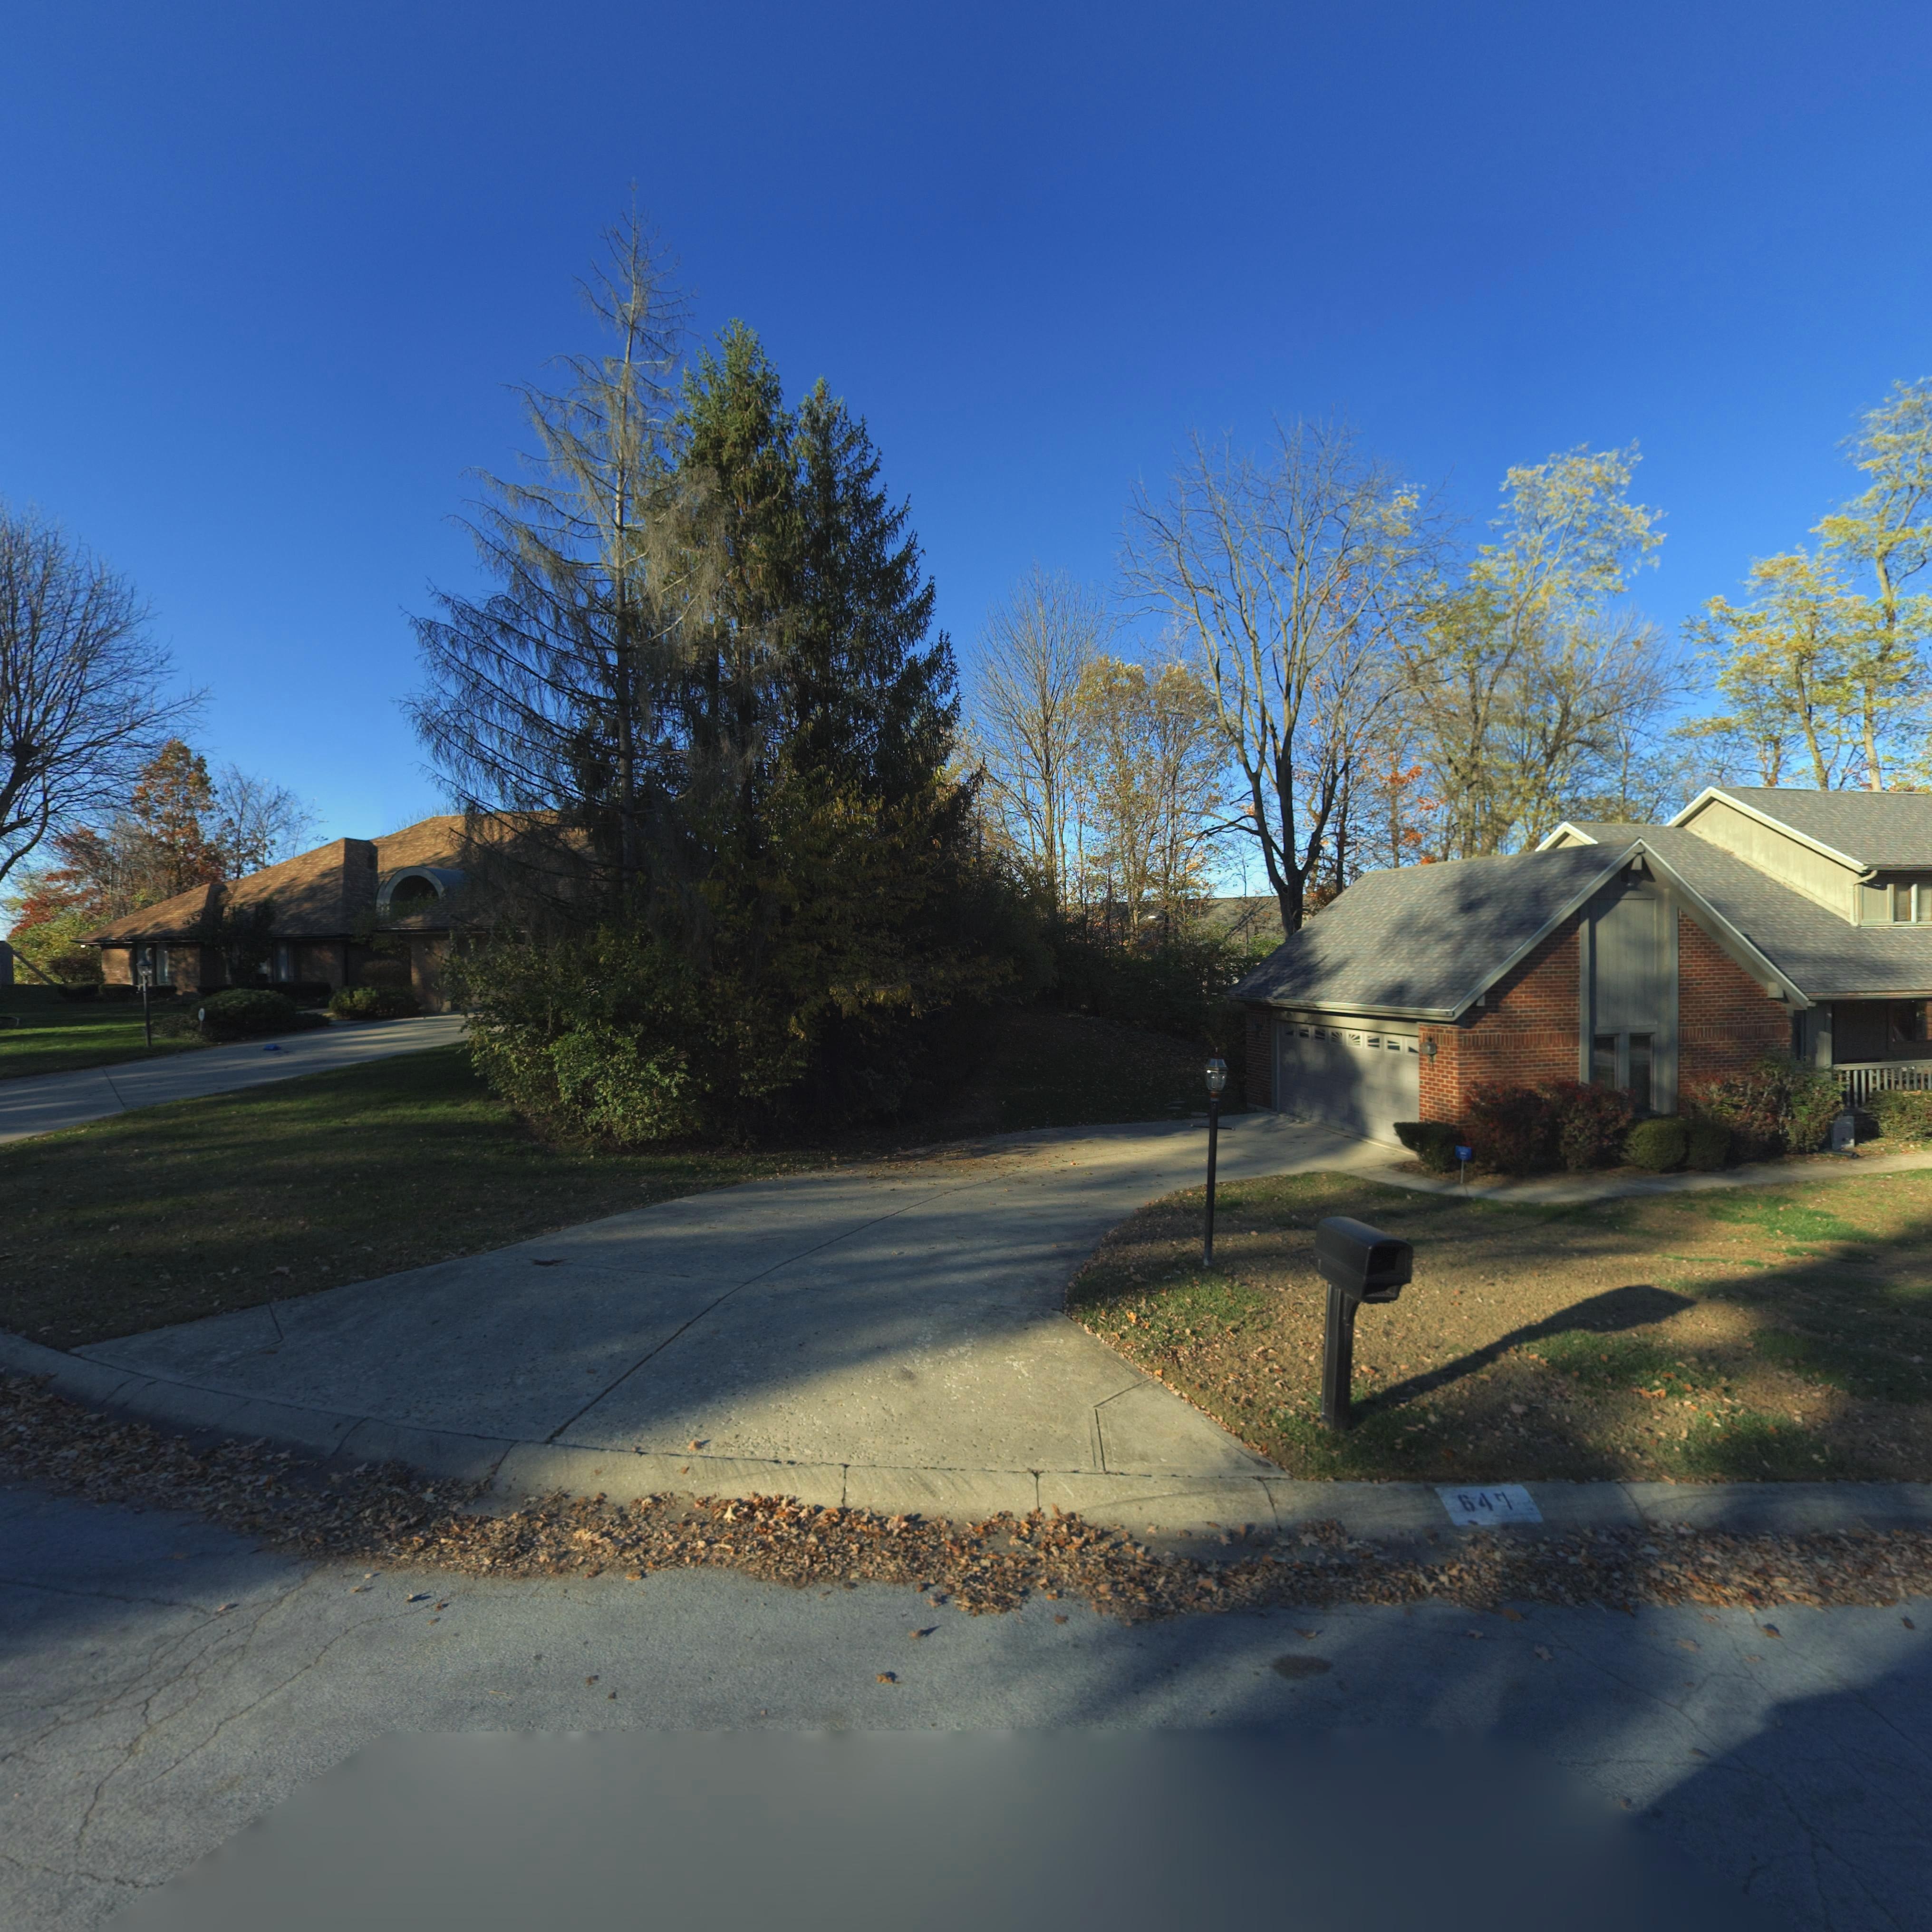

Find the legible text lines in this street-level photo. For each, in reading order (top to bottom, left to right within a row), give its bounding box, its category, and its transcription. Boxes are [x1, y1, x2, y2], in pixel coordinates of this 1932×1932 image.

[1454, 1488, 1517, 1516] StreetNumber: 64*